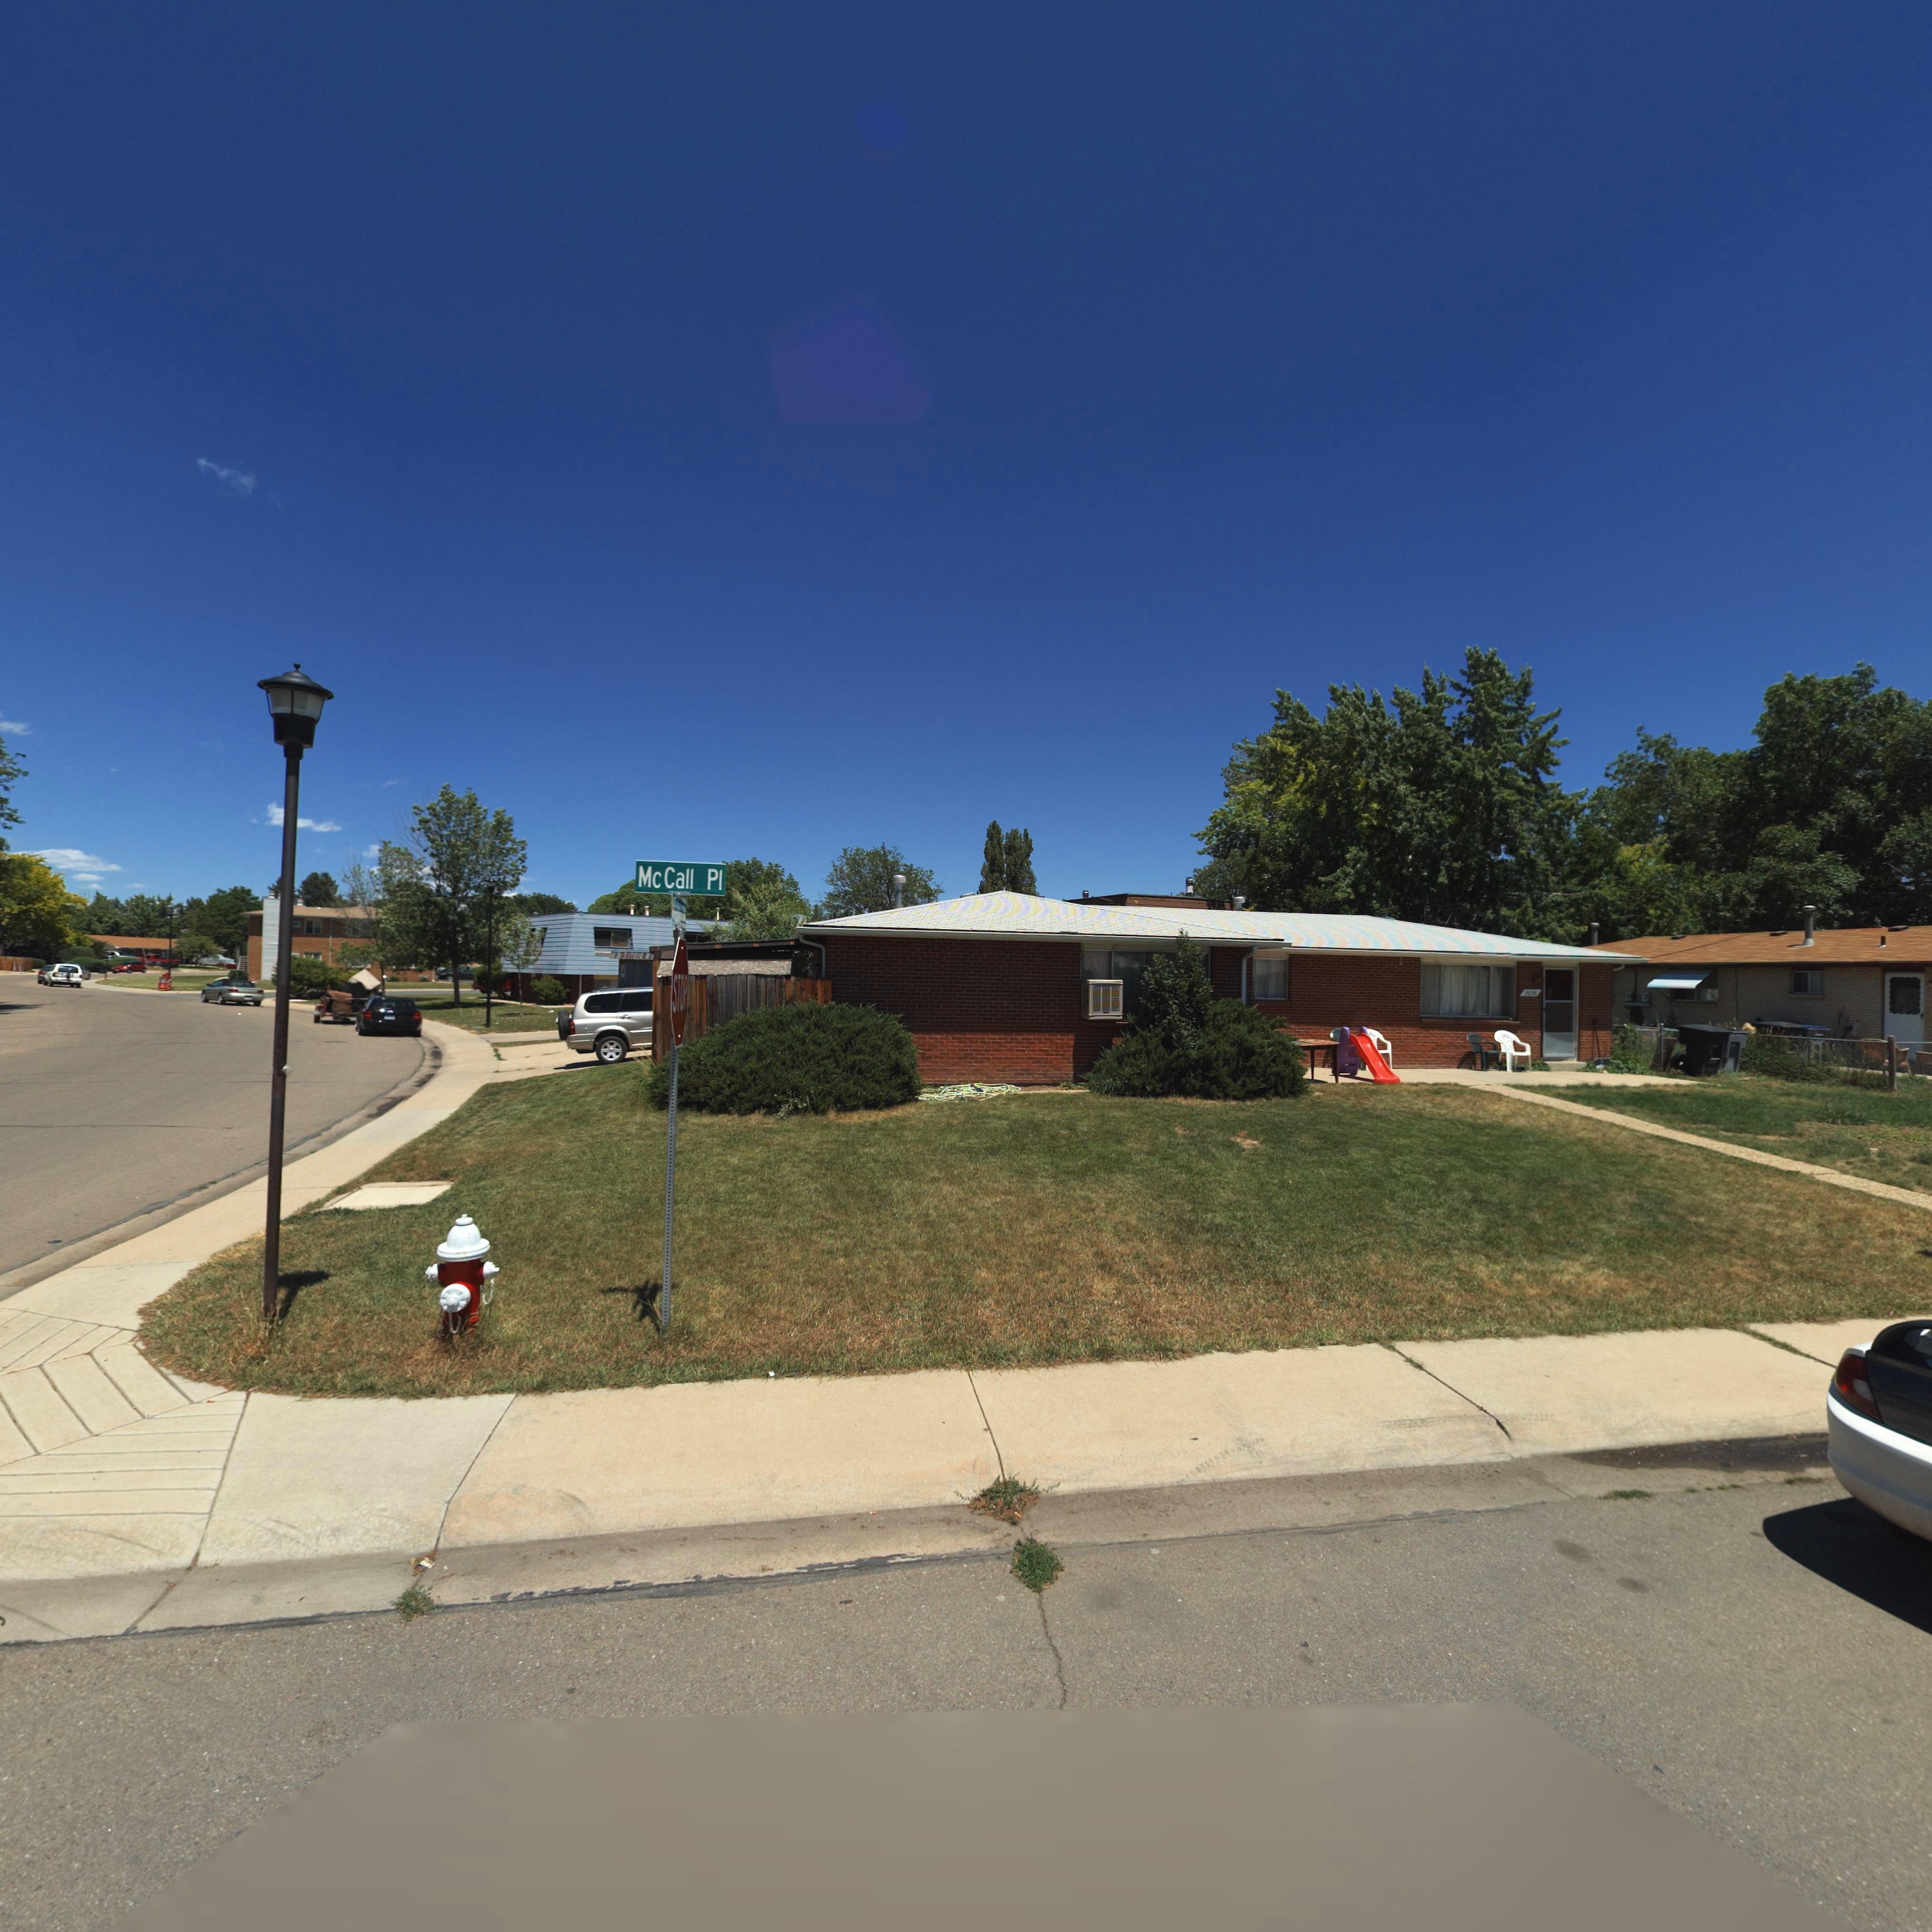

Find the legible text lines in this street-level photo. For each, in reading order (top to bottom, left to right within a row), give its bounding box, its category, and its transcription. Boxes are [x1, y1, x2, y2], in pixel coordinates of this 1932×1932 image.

[638, 865, 724, 891] StreetName: McCall Pl
[1524, 990, 1537, 995] StreetNumber: 2020